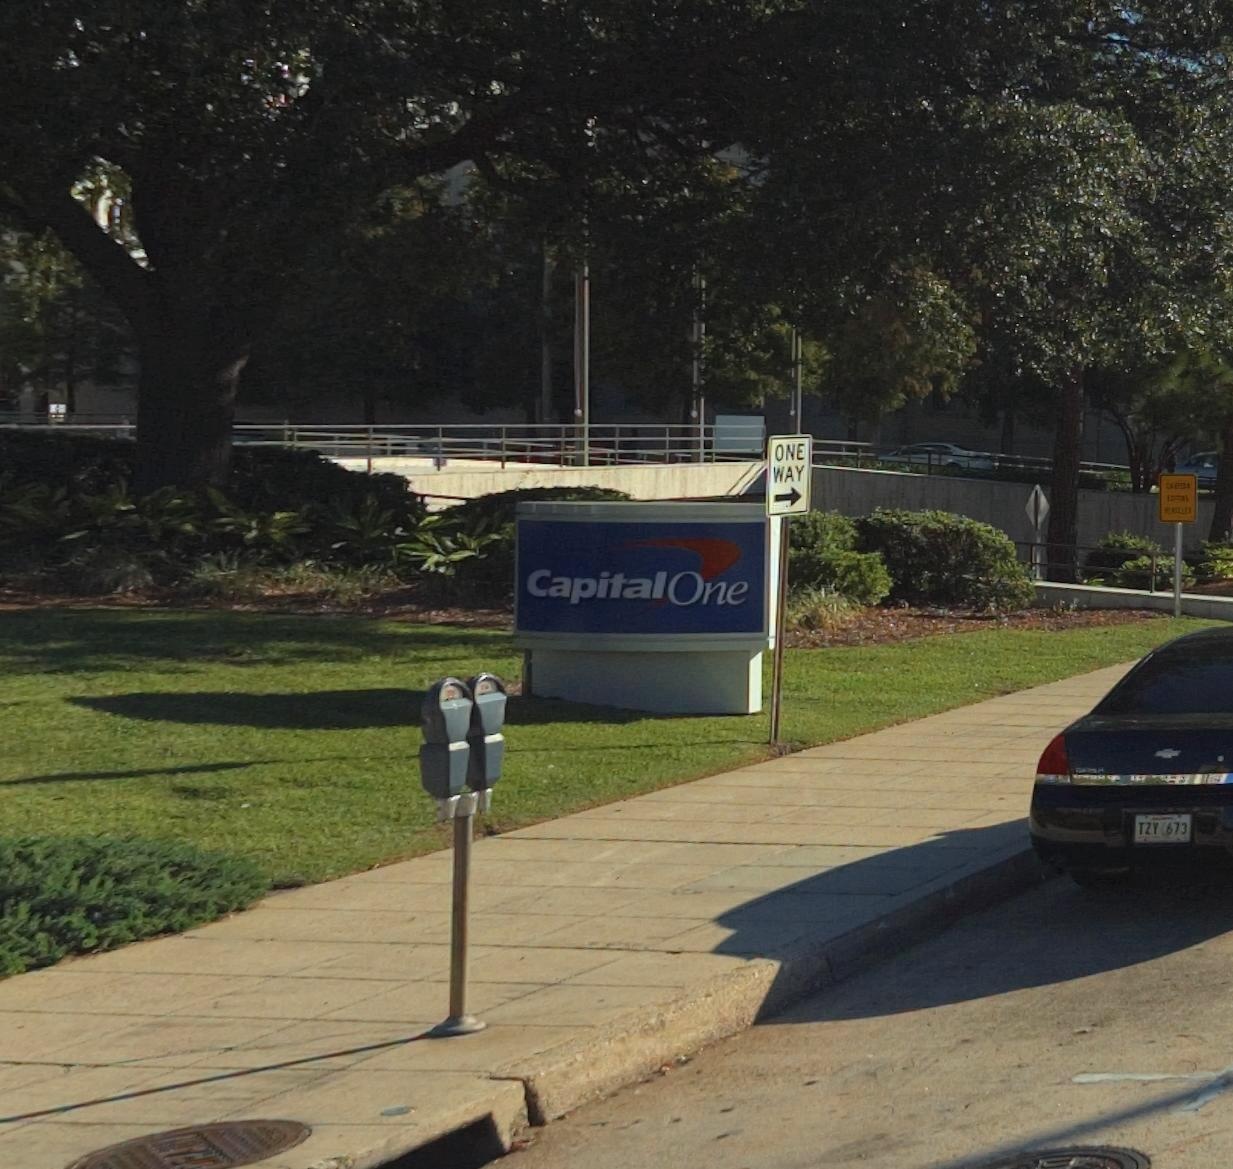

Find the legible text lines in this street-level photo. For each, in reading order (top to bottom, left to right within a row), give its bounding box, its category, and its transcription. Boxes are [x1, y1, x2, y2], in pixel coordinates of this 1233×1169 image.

[772, 441, 806, 464] None: ONE
[770, 463, 807, 486] None: WAY
[520, 567, 755, 608] BusinessName: Capital One
[1136, 820, 1188, 837] None: T2Y 673